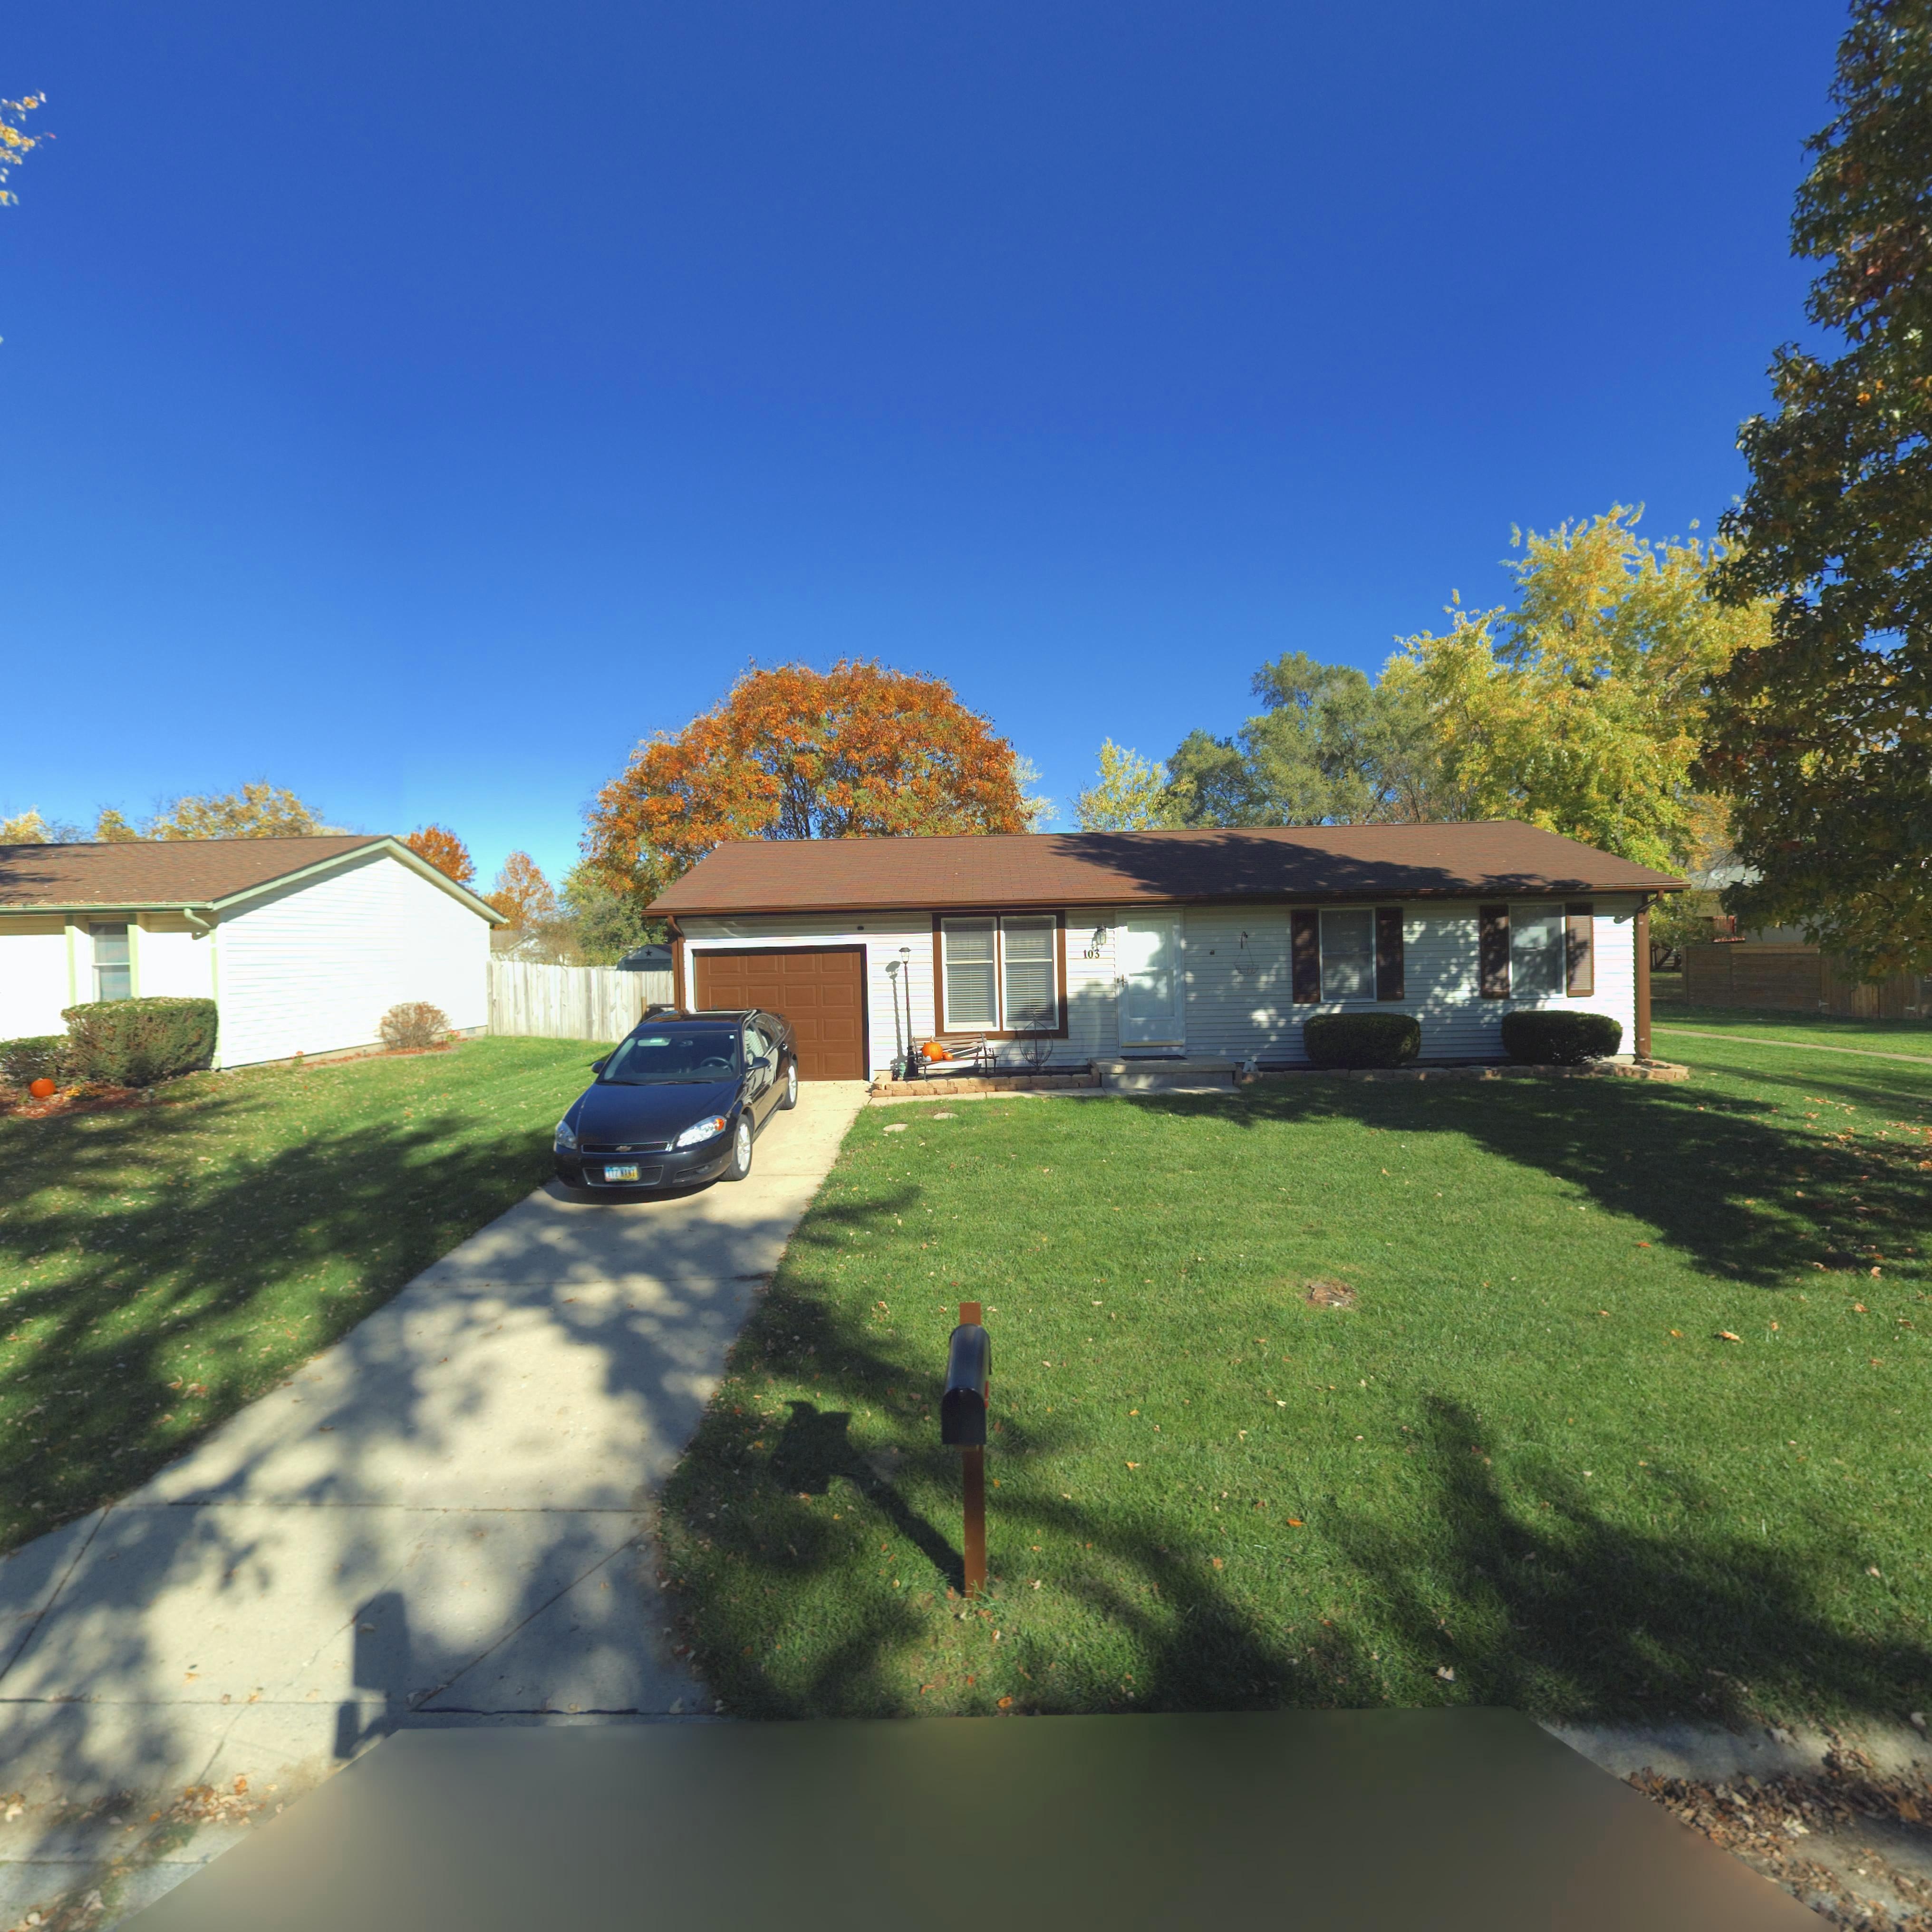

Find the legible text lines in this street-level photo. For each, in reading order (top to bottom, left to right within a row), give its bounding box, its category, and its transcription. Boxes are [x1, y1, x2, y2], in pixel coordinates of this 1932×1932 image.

[1082, 949, 1100, 959] StreetNumber: 103